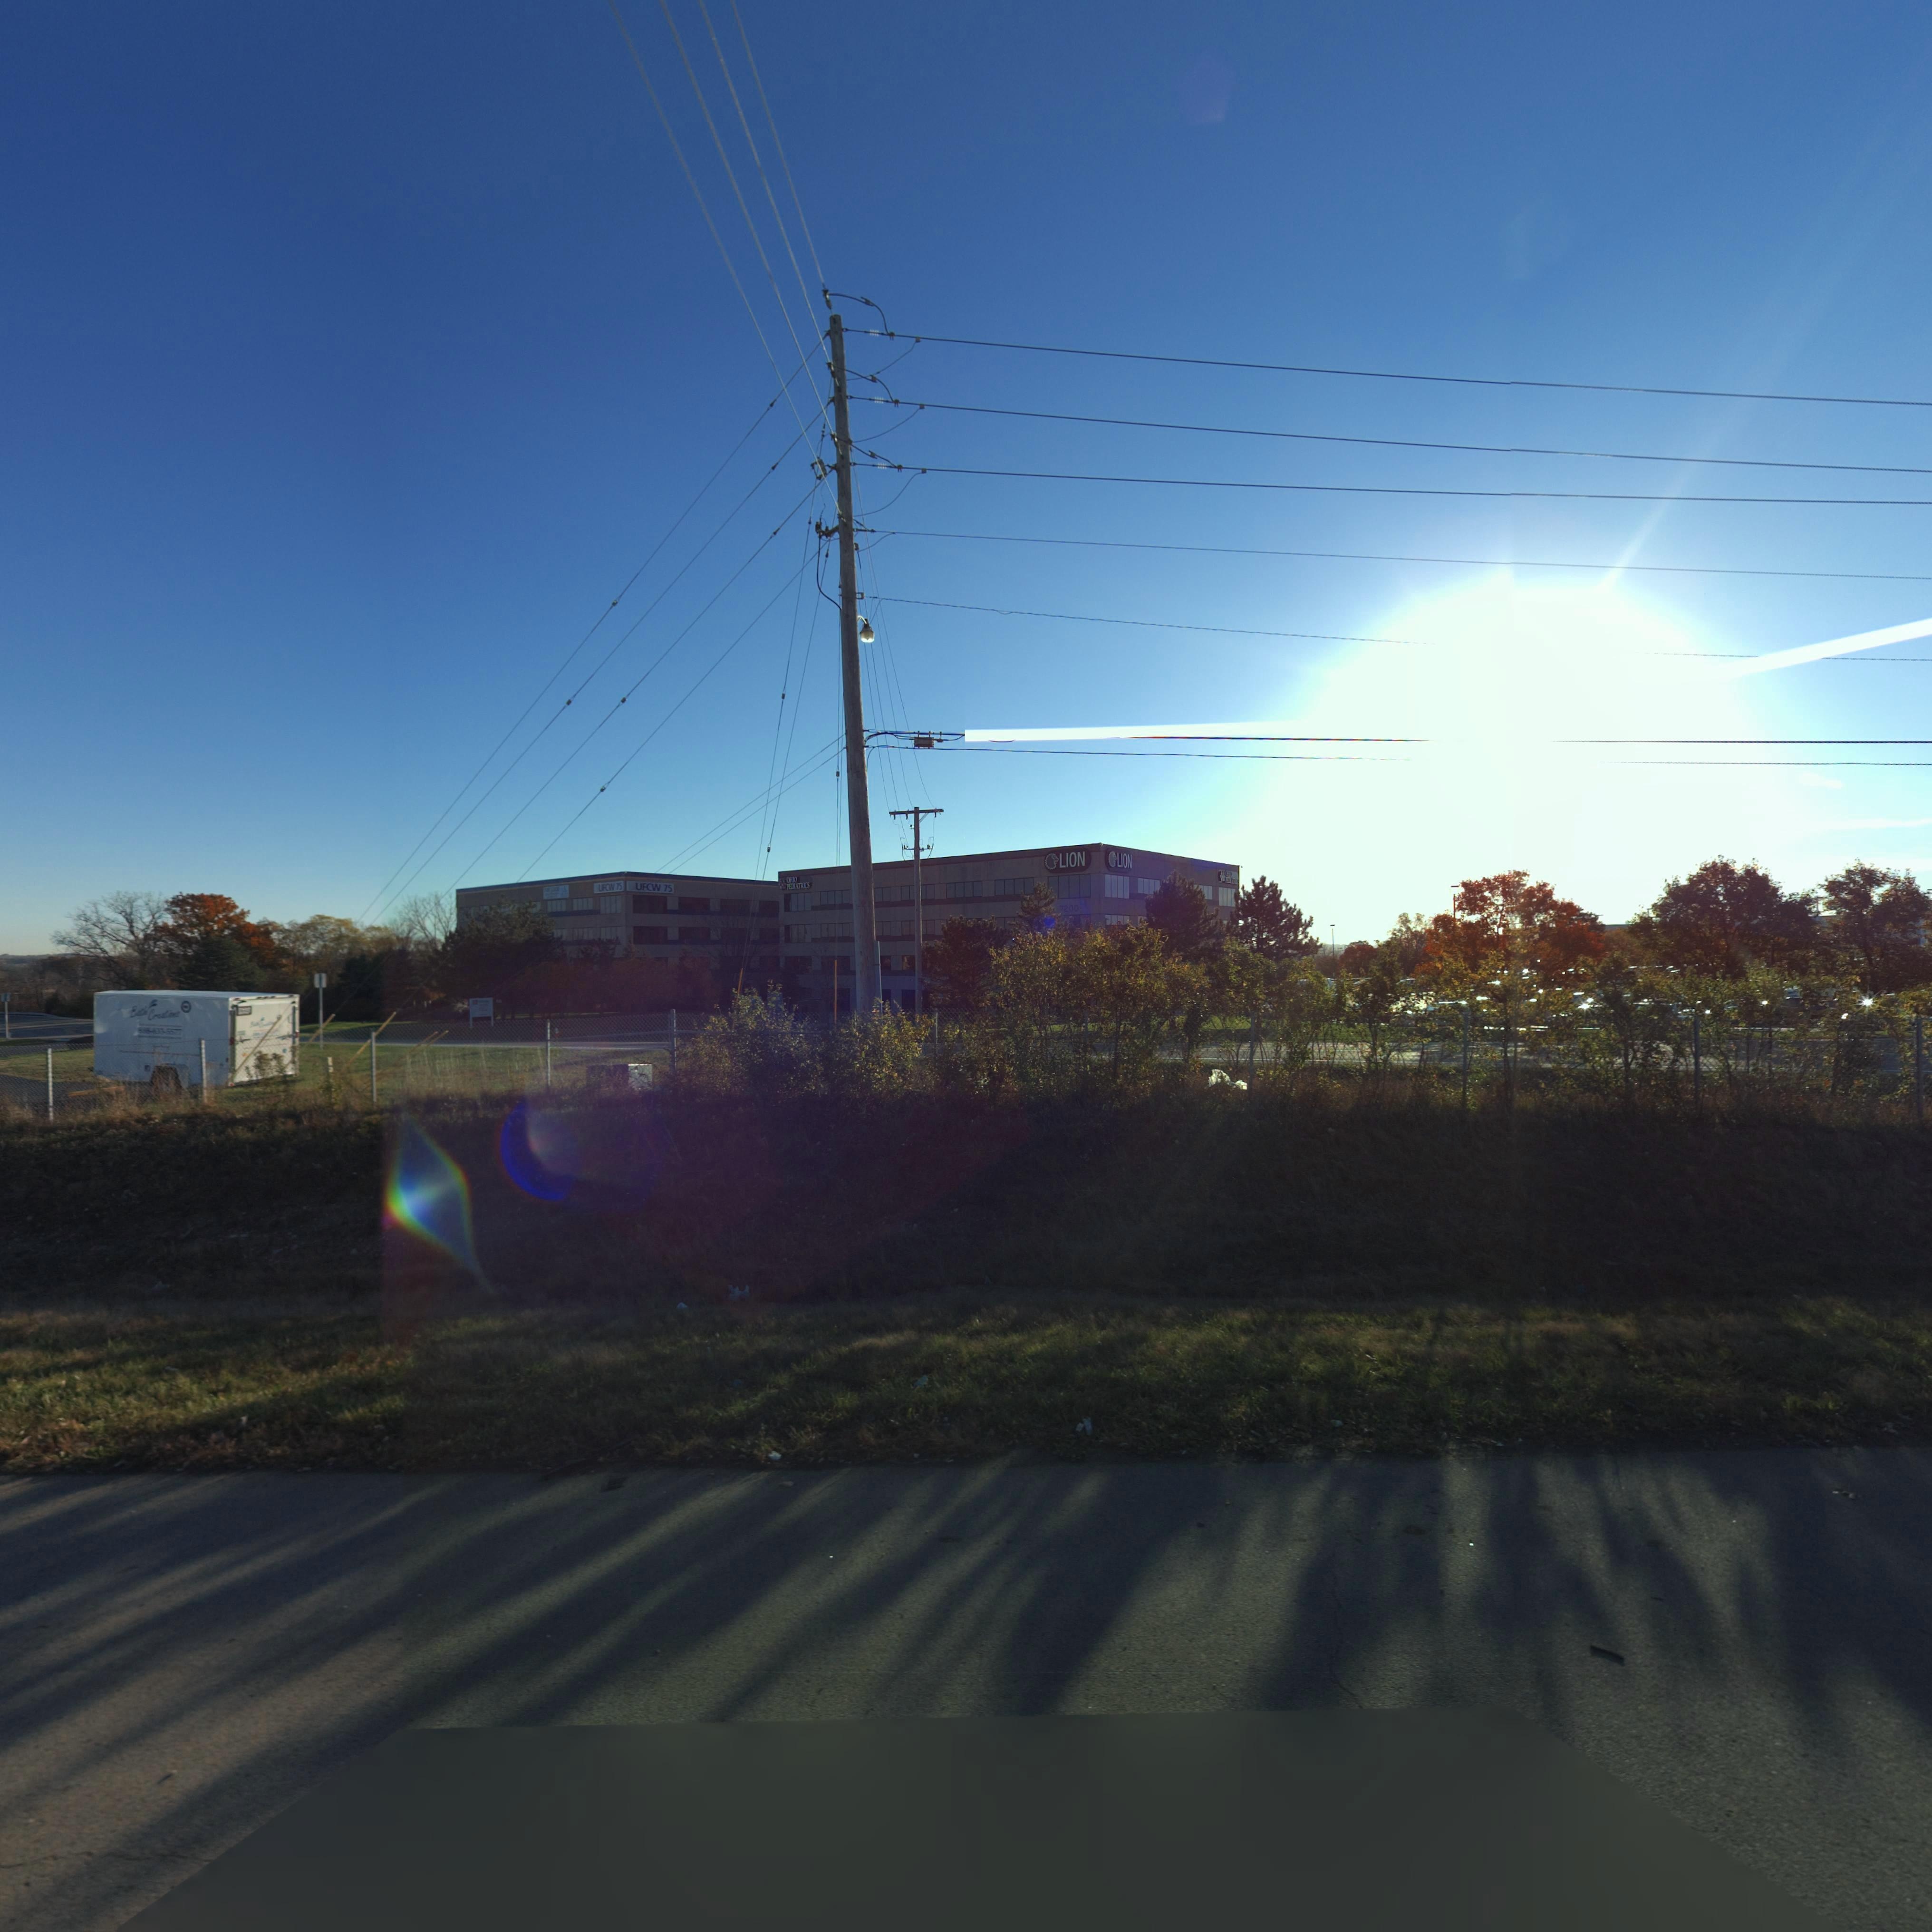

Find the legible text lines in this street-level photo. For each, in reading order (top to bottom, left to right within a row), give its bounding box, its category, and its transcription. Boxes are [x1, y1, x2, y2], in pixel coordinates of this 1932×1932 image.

[1057, 850, 1085, 869] None: LION
[1114, 851, 1135, 872] None: LION
[597, 881, 623, 893] None: UFCW 75
[634, 881, 673, 894] None: UFCW 75
[1058, 903, 1080, 914] StreetNumber: 7200